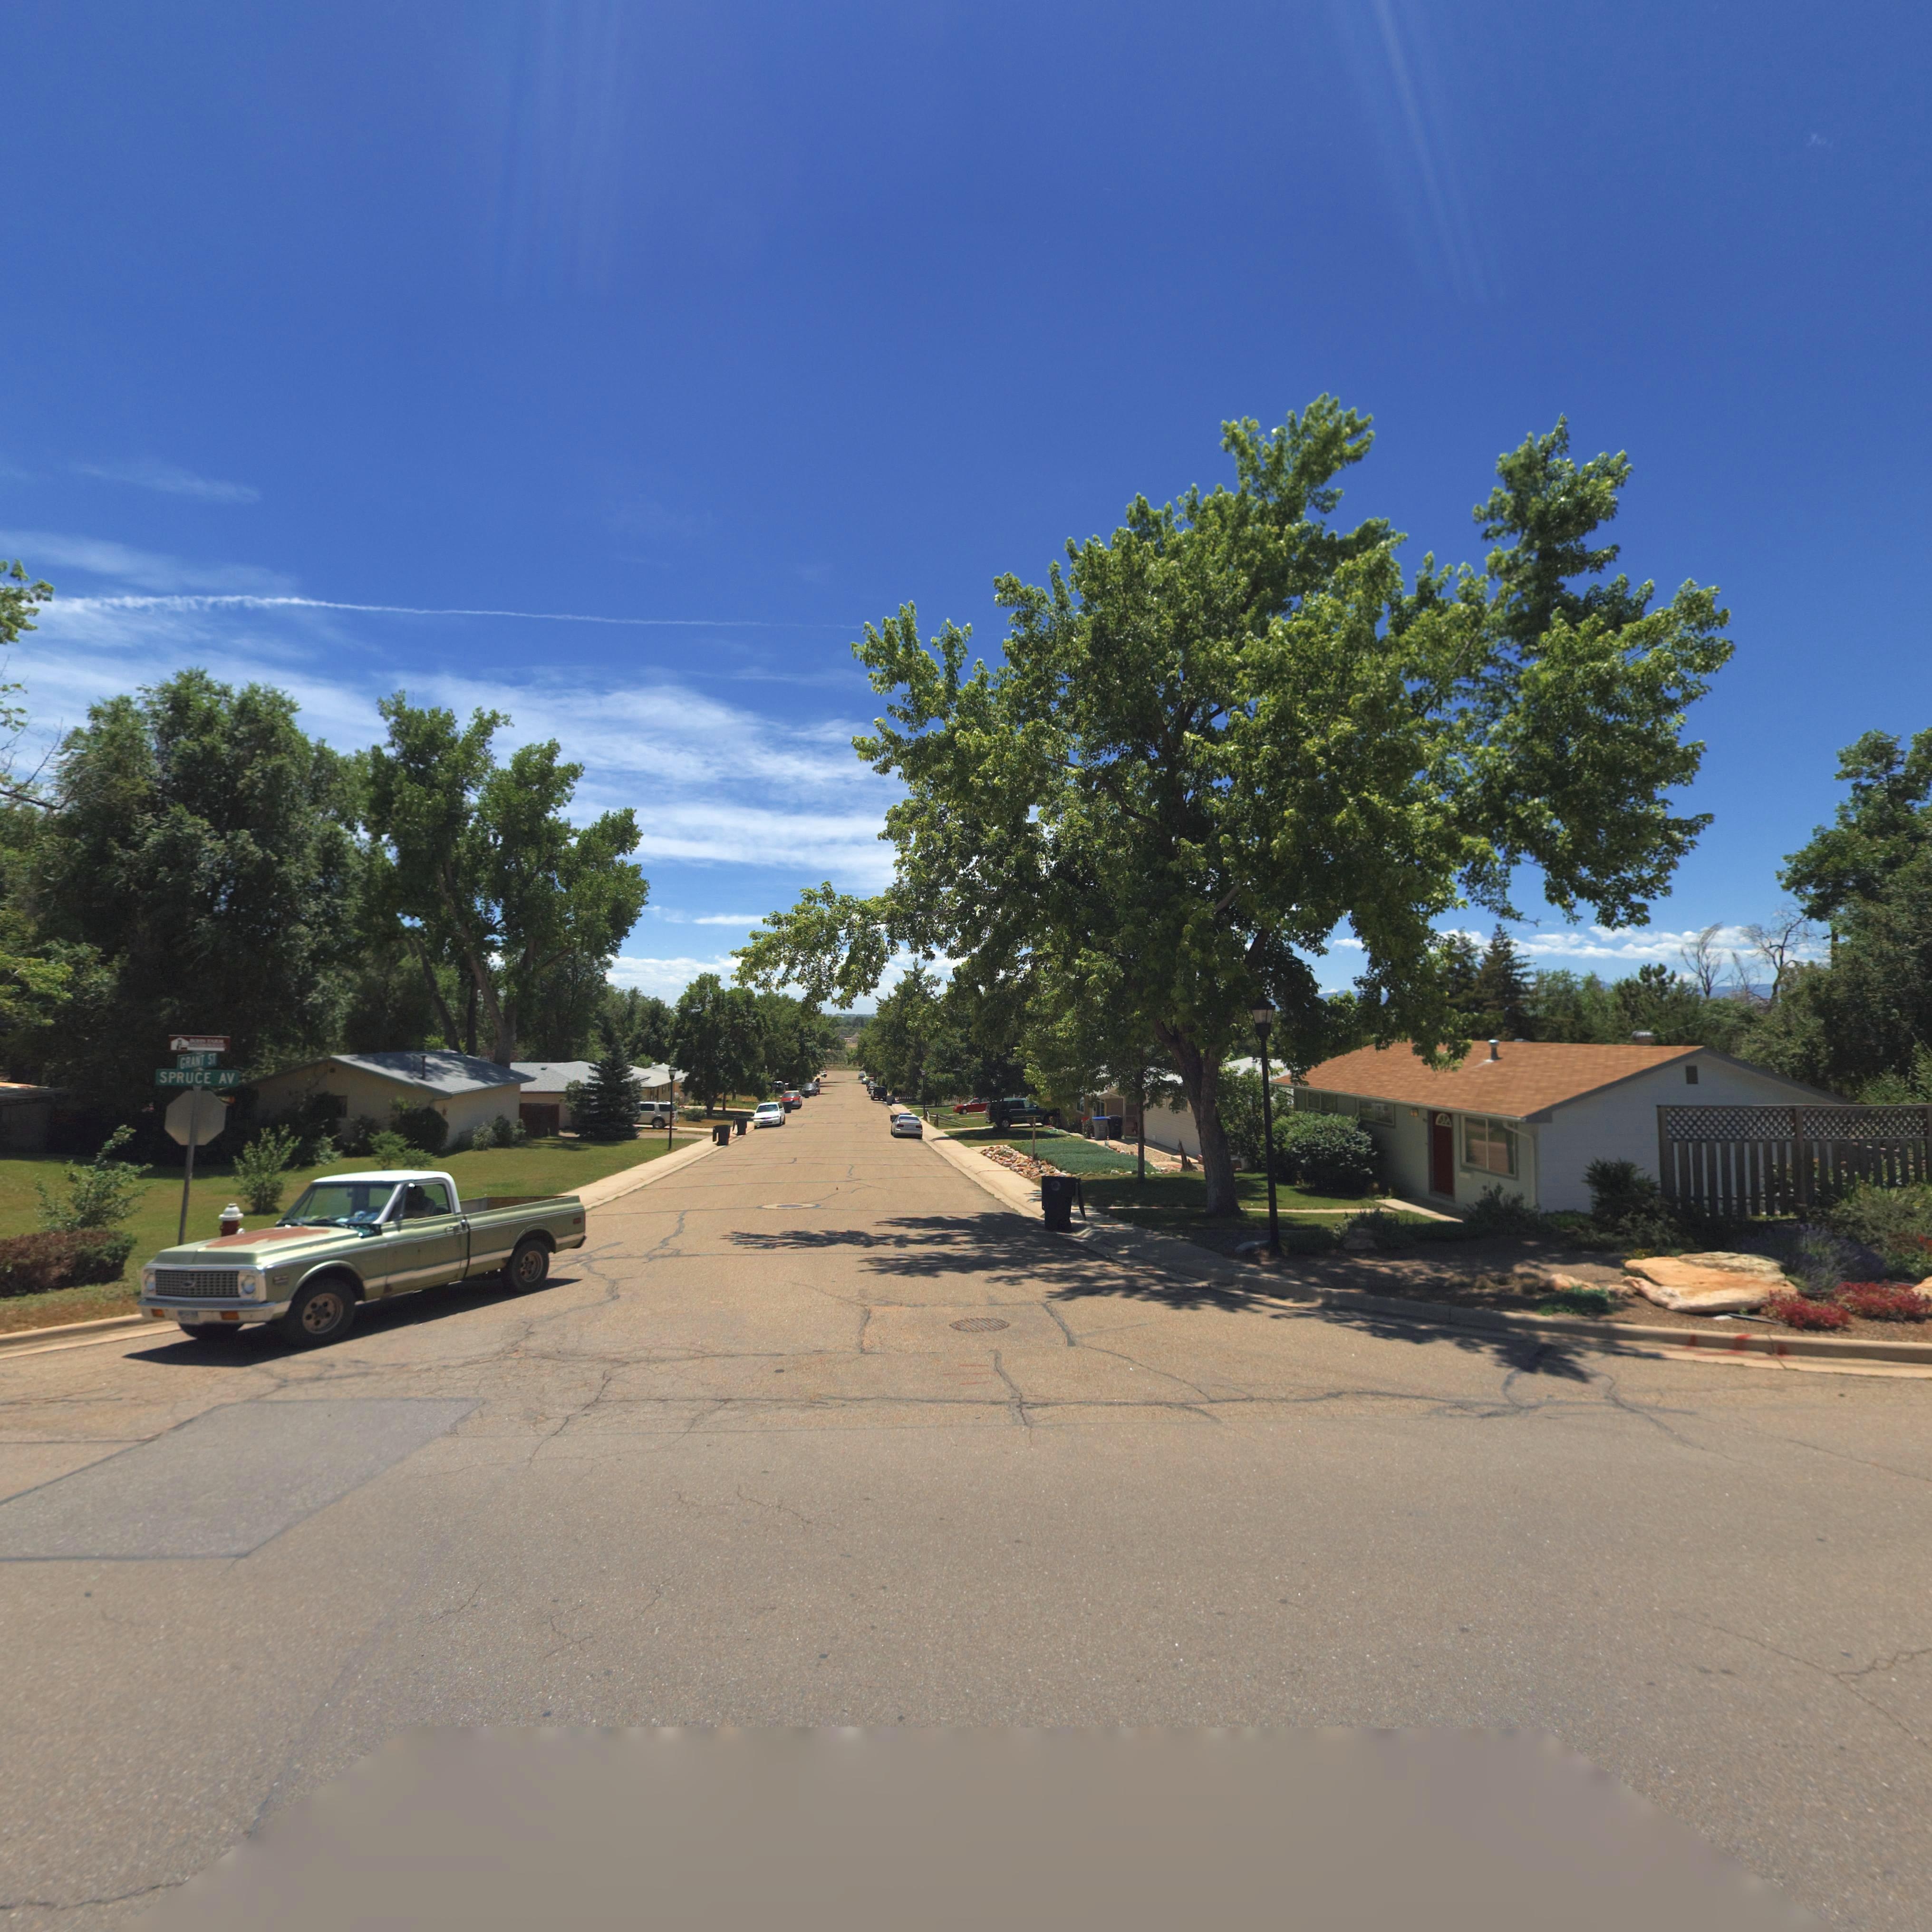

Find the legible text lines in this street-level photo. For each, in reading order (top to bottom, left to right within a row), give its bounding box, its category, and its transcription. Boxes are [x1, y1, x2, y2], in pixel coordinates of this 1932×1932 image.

[180, 1053, 216, 1069] StreetName: GRANT ST
[159, 1071, 235, 1084] StreetName: SPRUCE AV